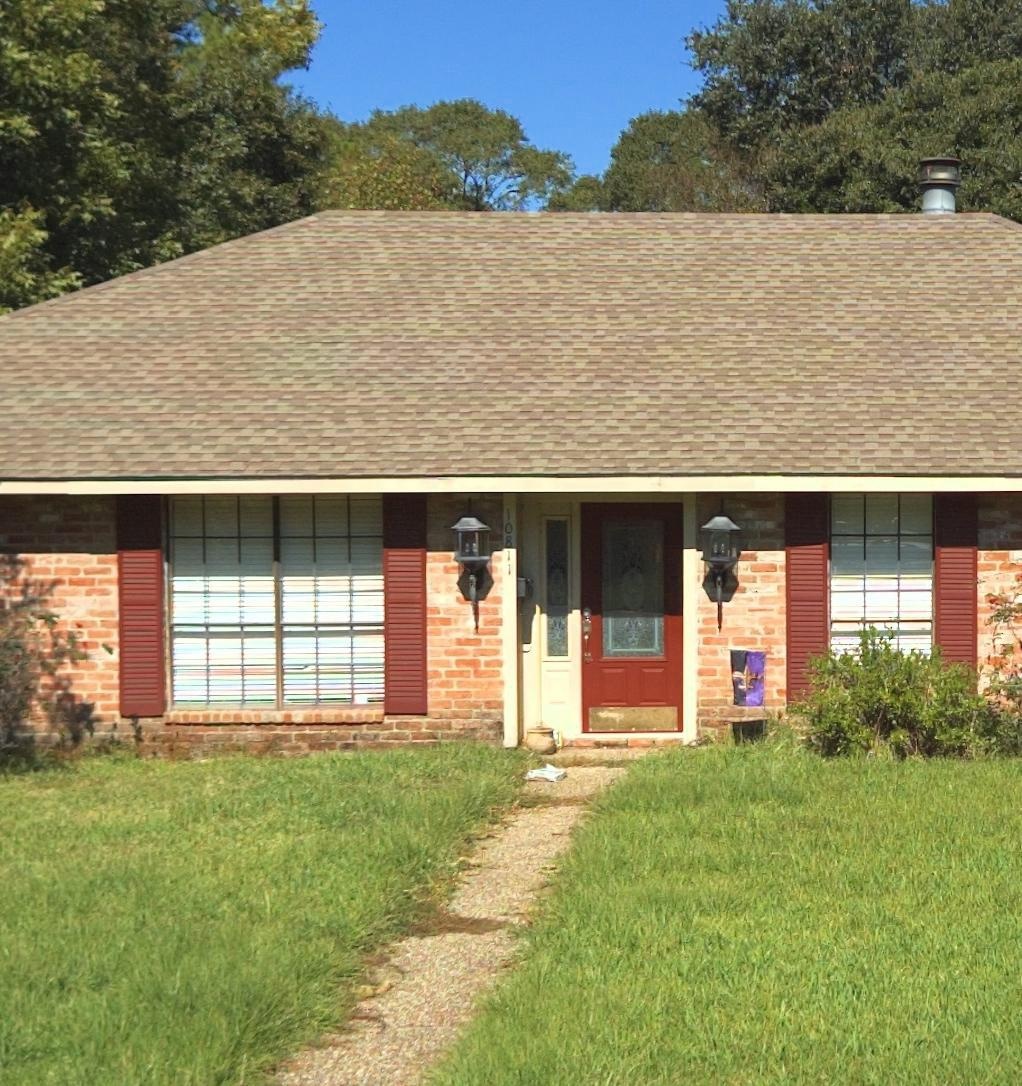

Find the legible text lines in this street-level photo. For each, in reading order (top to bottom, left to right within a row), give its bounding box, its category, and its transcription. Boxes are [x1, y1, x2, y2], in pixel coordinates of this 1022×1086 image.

[503, 507, 514, 577] StreetNumber: 10811